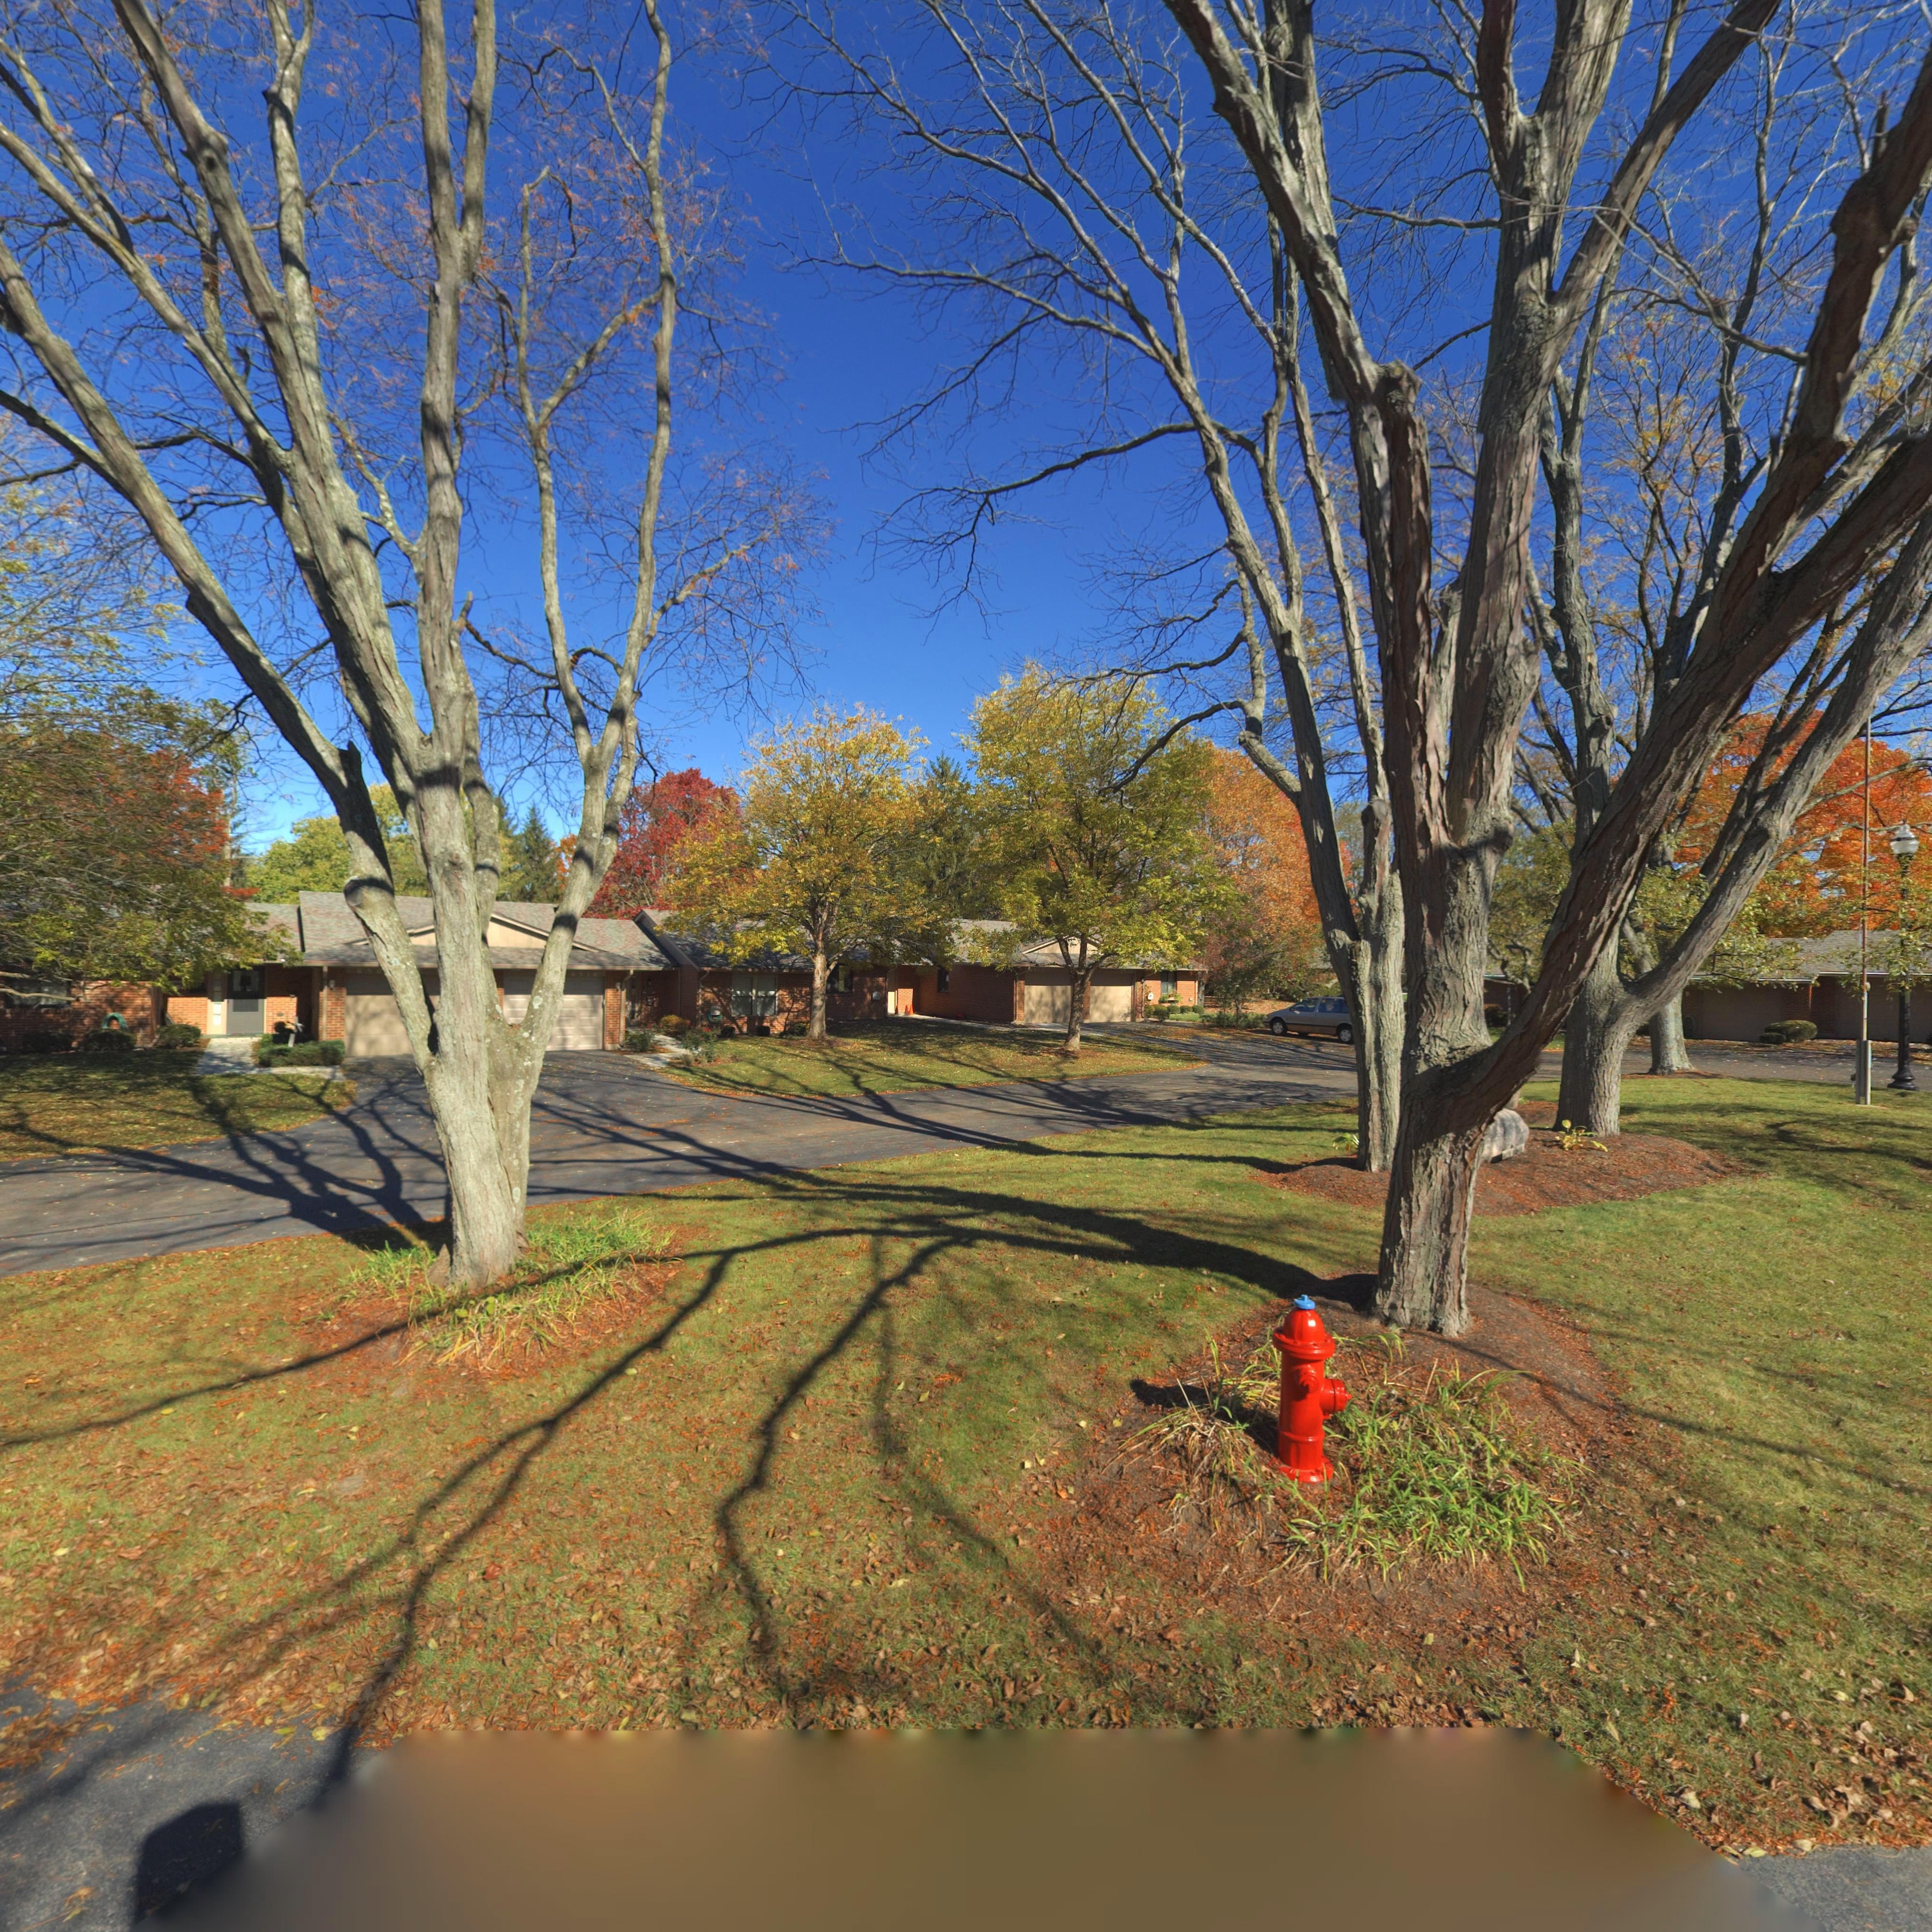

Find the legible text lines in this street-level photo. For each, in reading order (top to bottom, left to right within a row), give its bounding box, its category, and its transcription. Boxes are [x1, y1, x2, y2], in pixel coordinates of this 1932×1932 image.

[570, 971, 598, 978] StreetNumber: **10